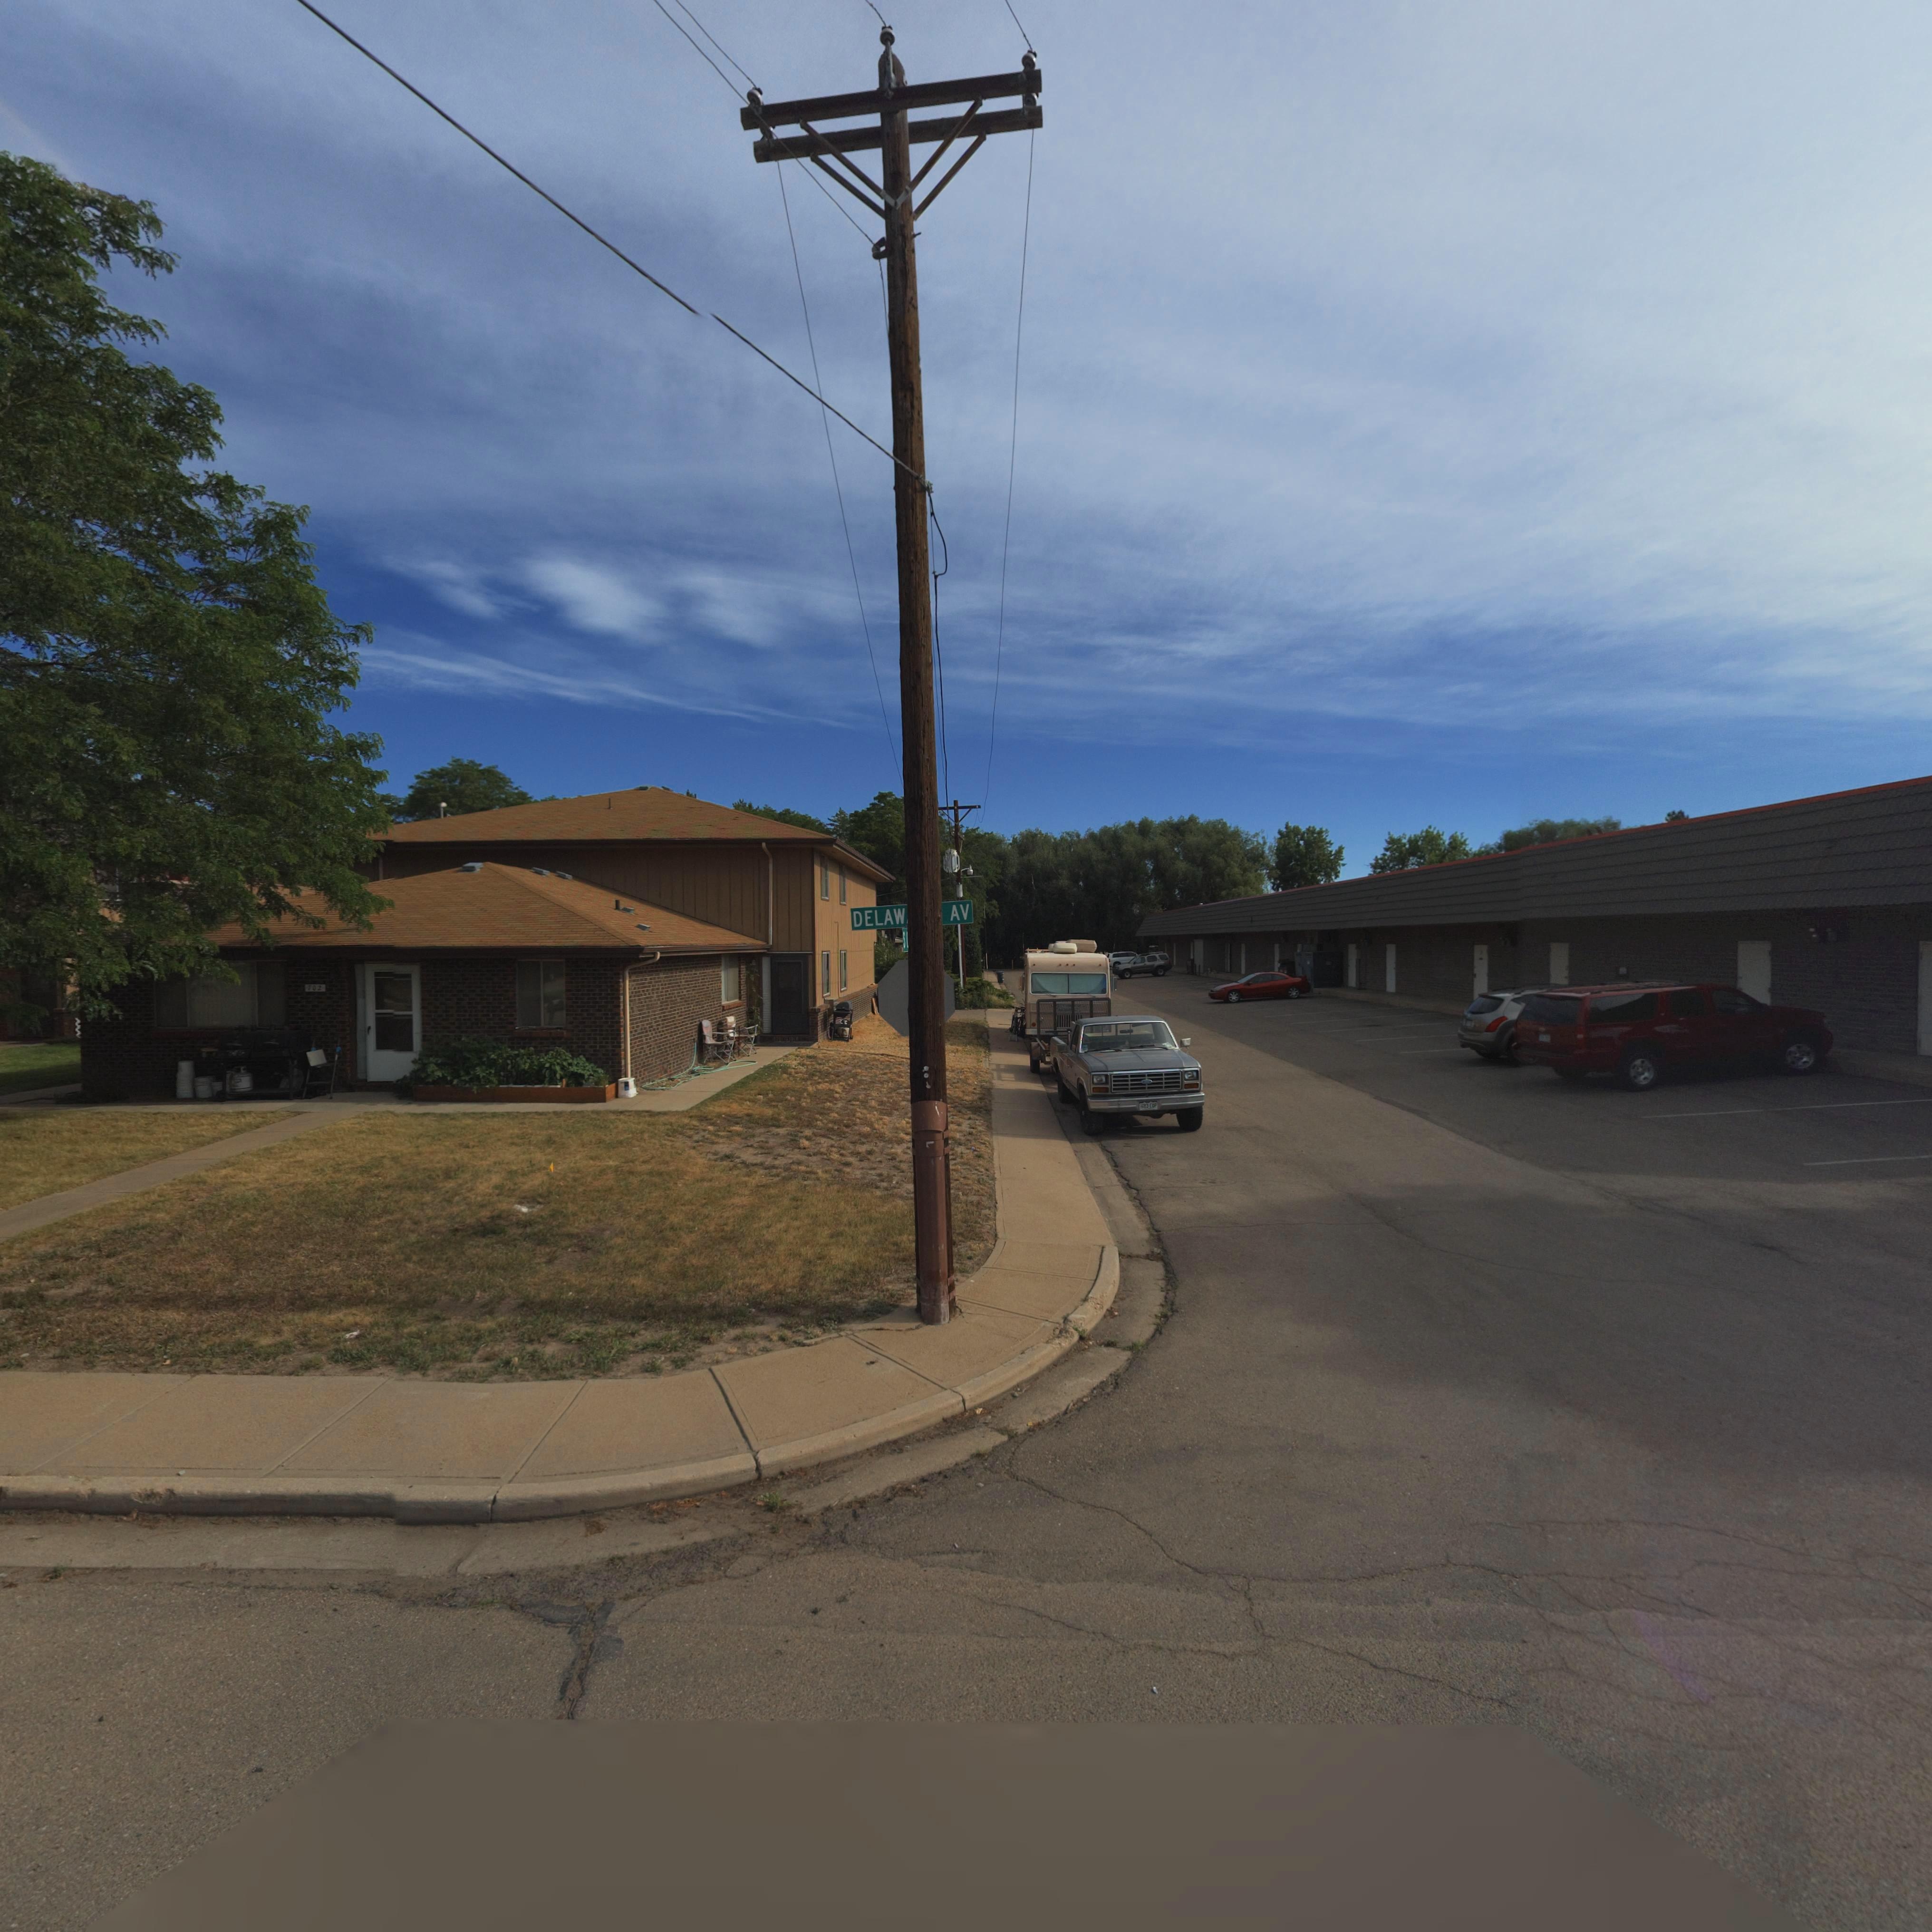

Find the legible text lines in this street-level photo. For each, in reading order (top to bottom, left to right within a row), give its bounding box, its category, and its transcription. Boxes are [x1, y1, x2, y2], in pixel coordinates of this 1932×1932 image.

[852, 899, 970, 928] StreetName: DELAW AV
[304, 983, 326, 992] StreetNumber: 702